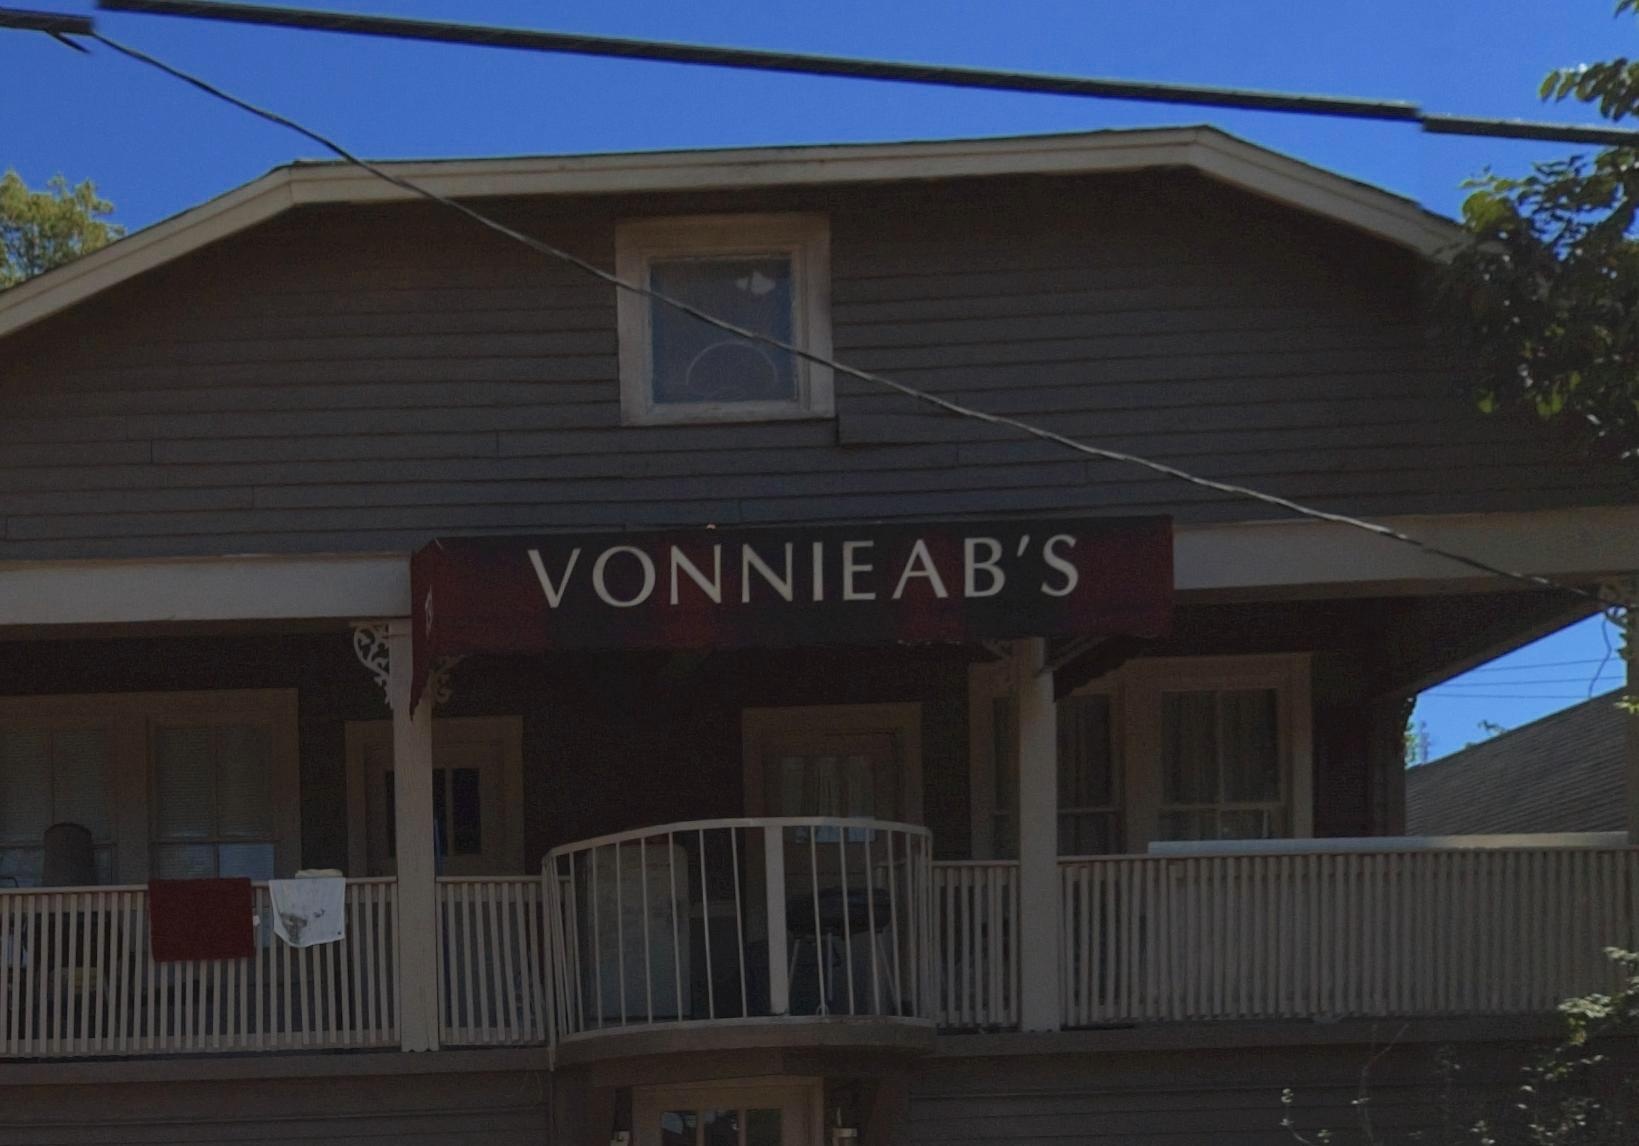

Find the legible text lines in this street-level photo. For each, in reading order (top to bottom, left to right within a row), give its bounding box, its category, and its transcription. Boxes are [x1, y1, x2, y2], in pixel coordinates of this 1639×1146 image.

[520, 530, 1083, 613] BusinessName: VONNIEAB'S